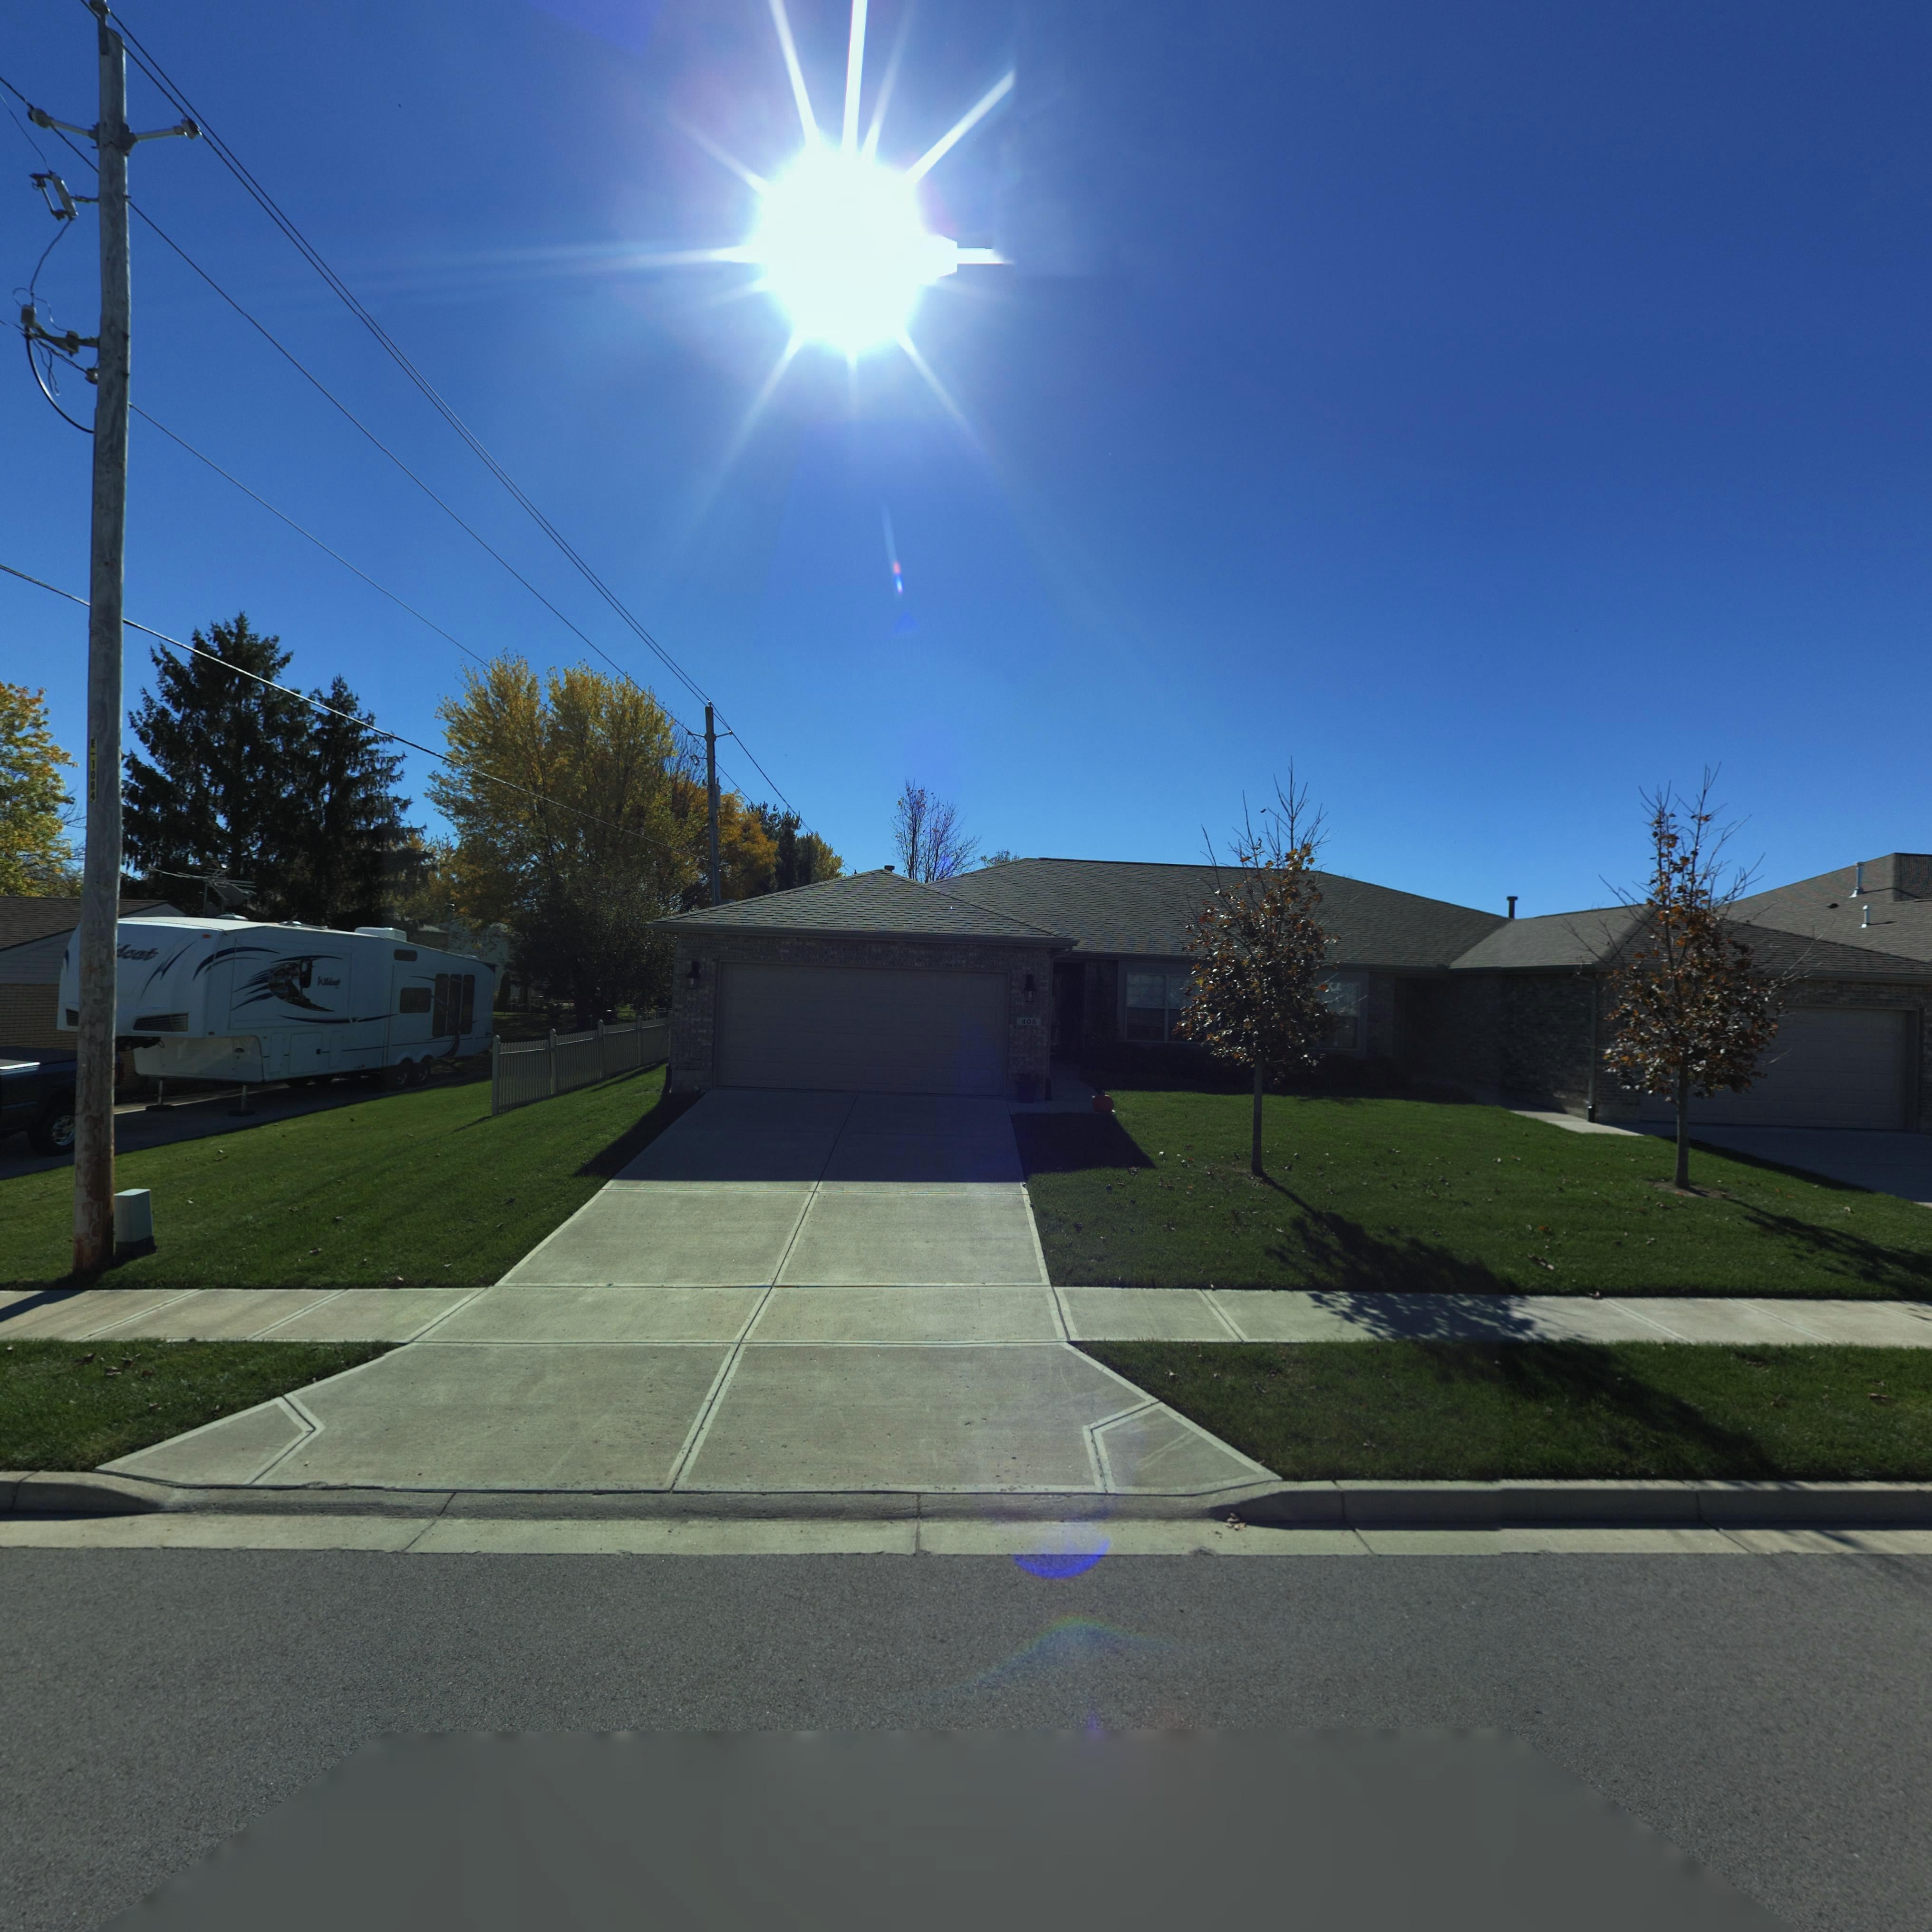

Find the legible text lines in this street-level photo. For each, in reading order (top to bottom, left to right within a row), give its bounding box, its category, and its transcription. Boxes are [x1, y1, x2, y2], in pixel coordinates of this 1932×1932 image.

[1021, 1018, 1037, 1025] StreetNumber: 40*